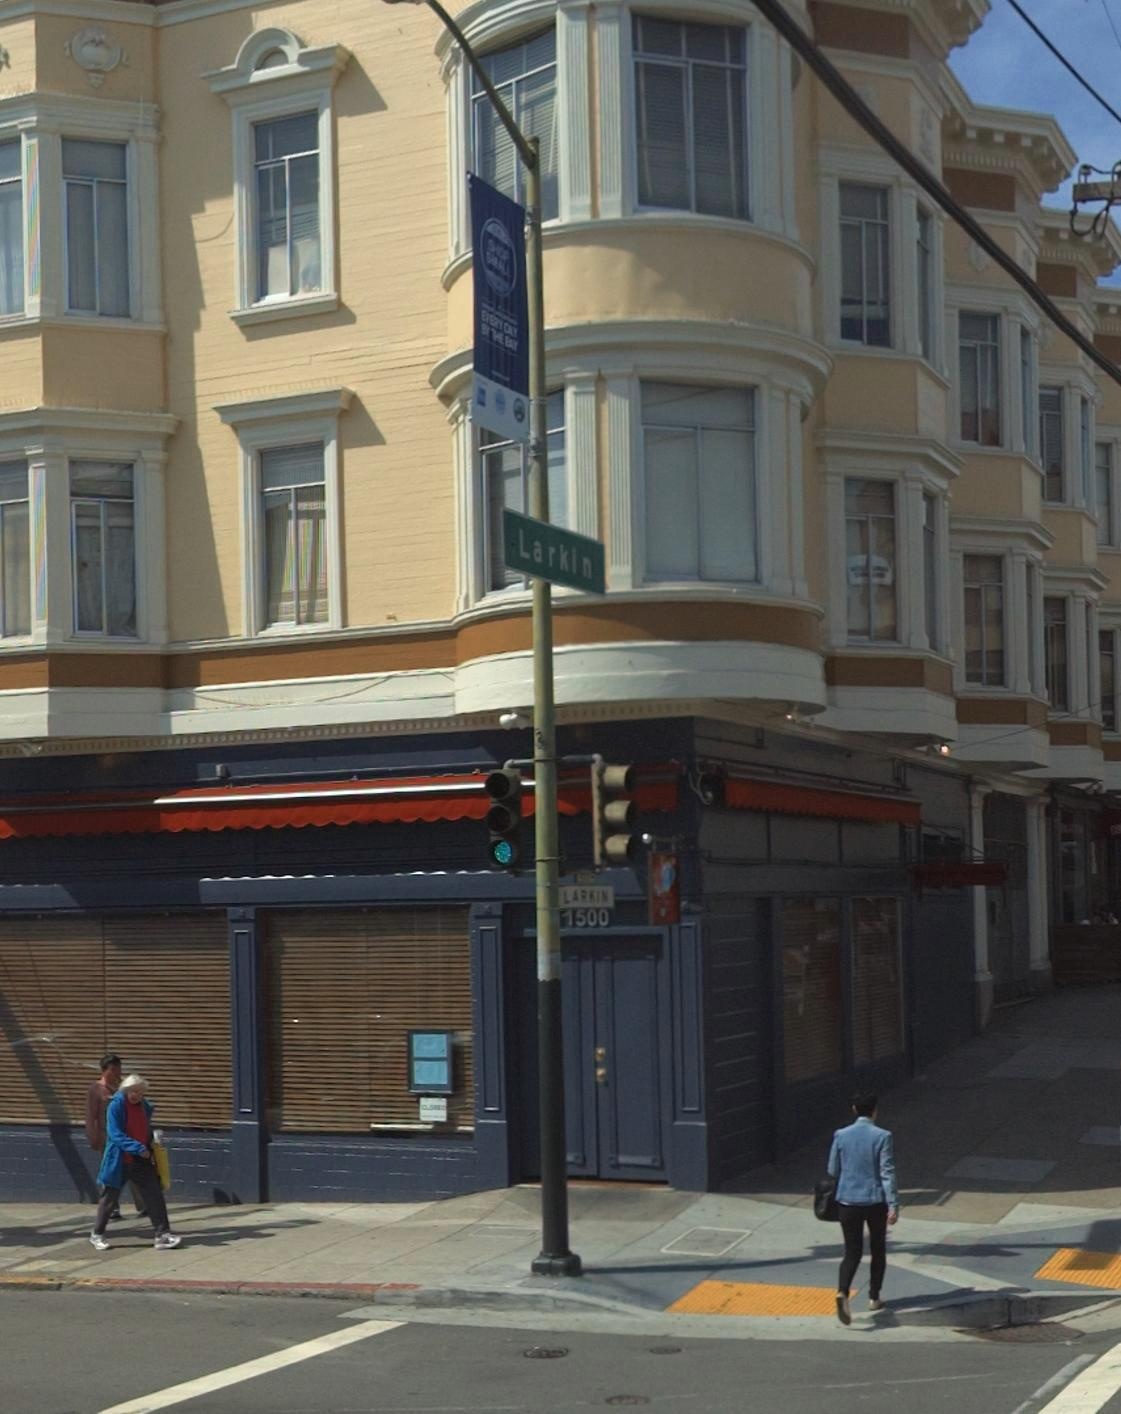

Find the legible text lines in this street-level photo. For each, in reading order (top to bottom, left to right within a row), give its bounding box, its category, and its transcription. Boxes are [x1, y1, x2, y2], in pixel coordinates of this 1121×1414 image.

[501, 318, 522, 341] None: *AY
[515, 524, 595, 584] StreetName: Larkin
[561, 887, 611, 908] StreetName: LARKIN
[561, 906, 612, 929] StreetNumber: 1500